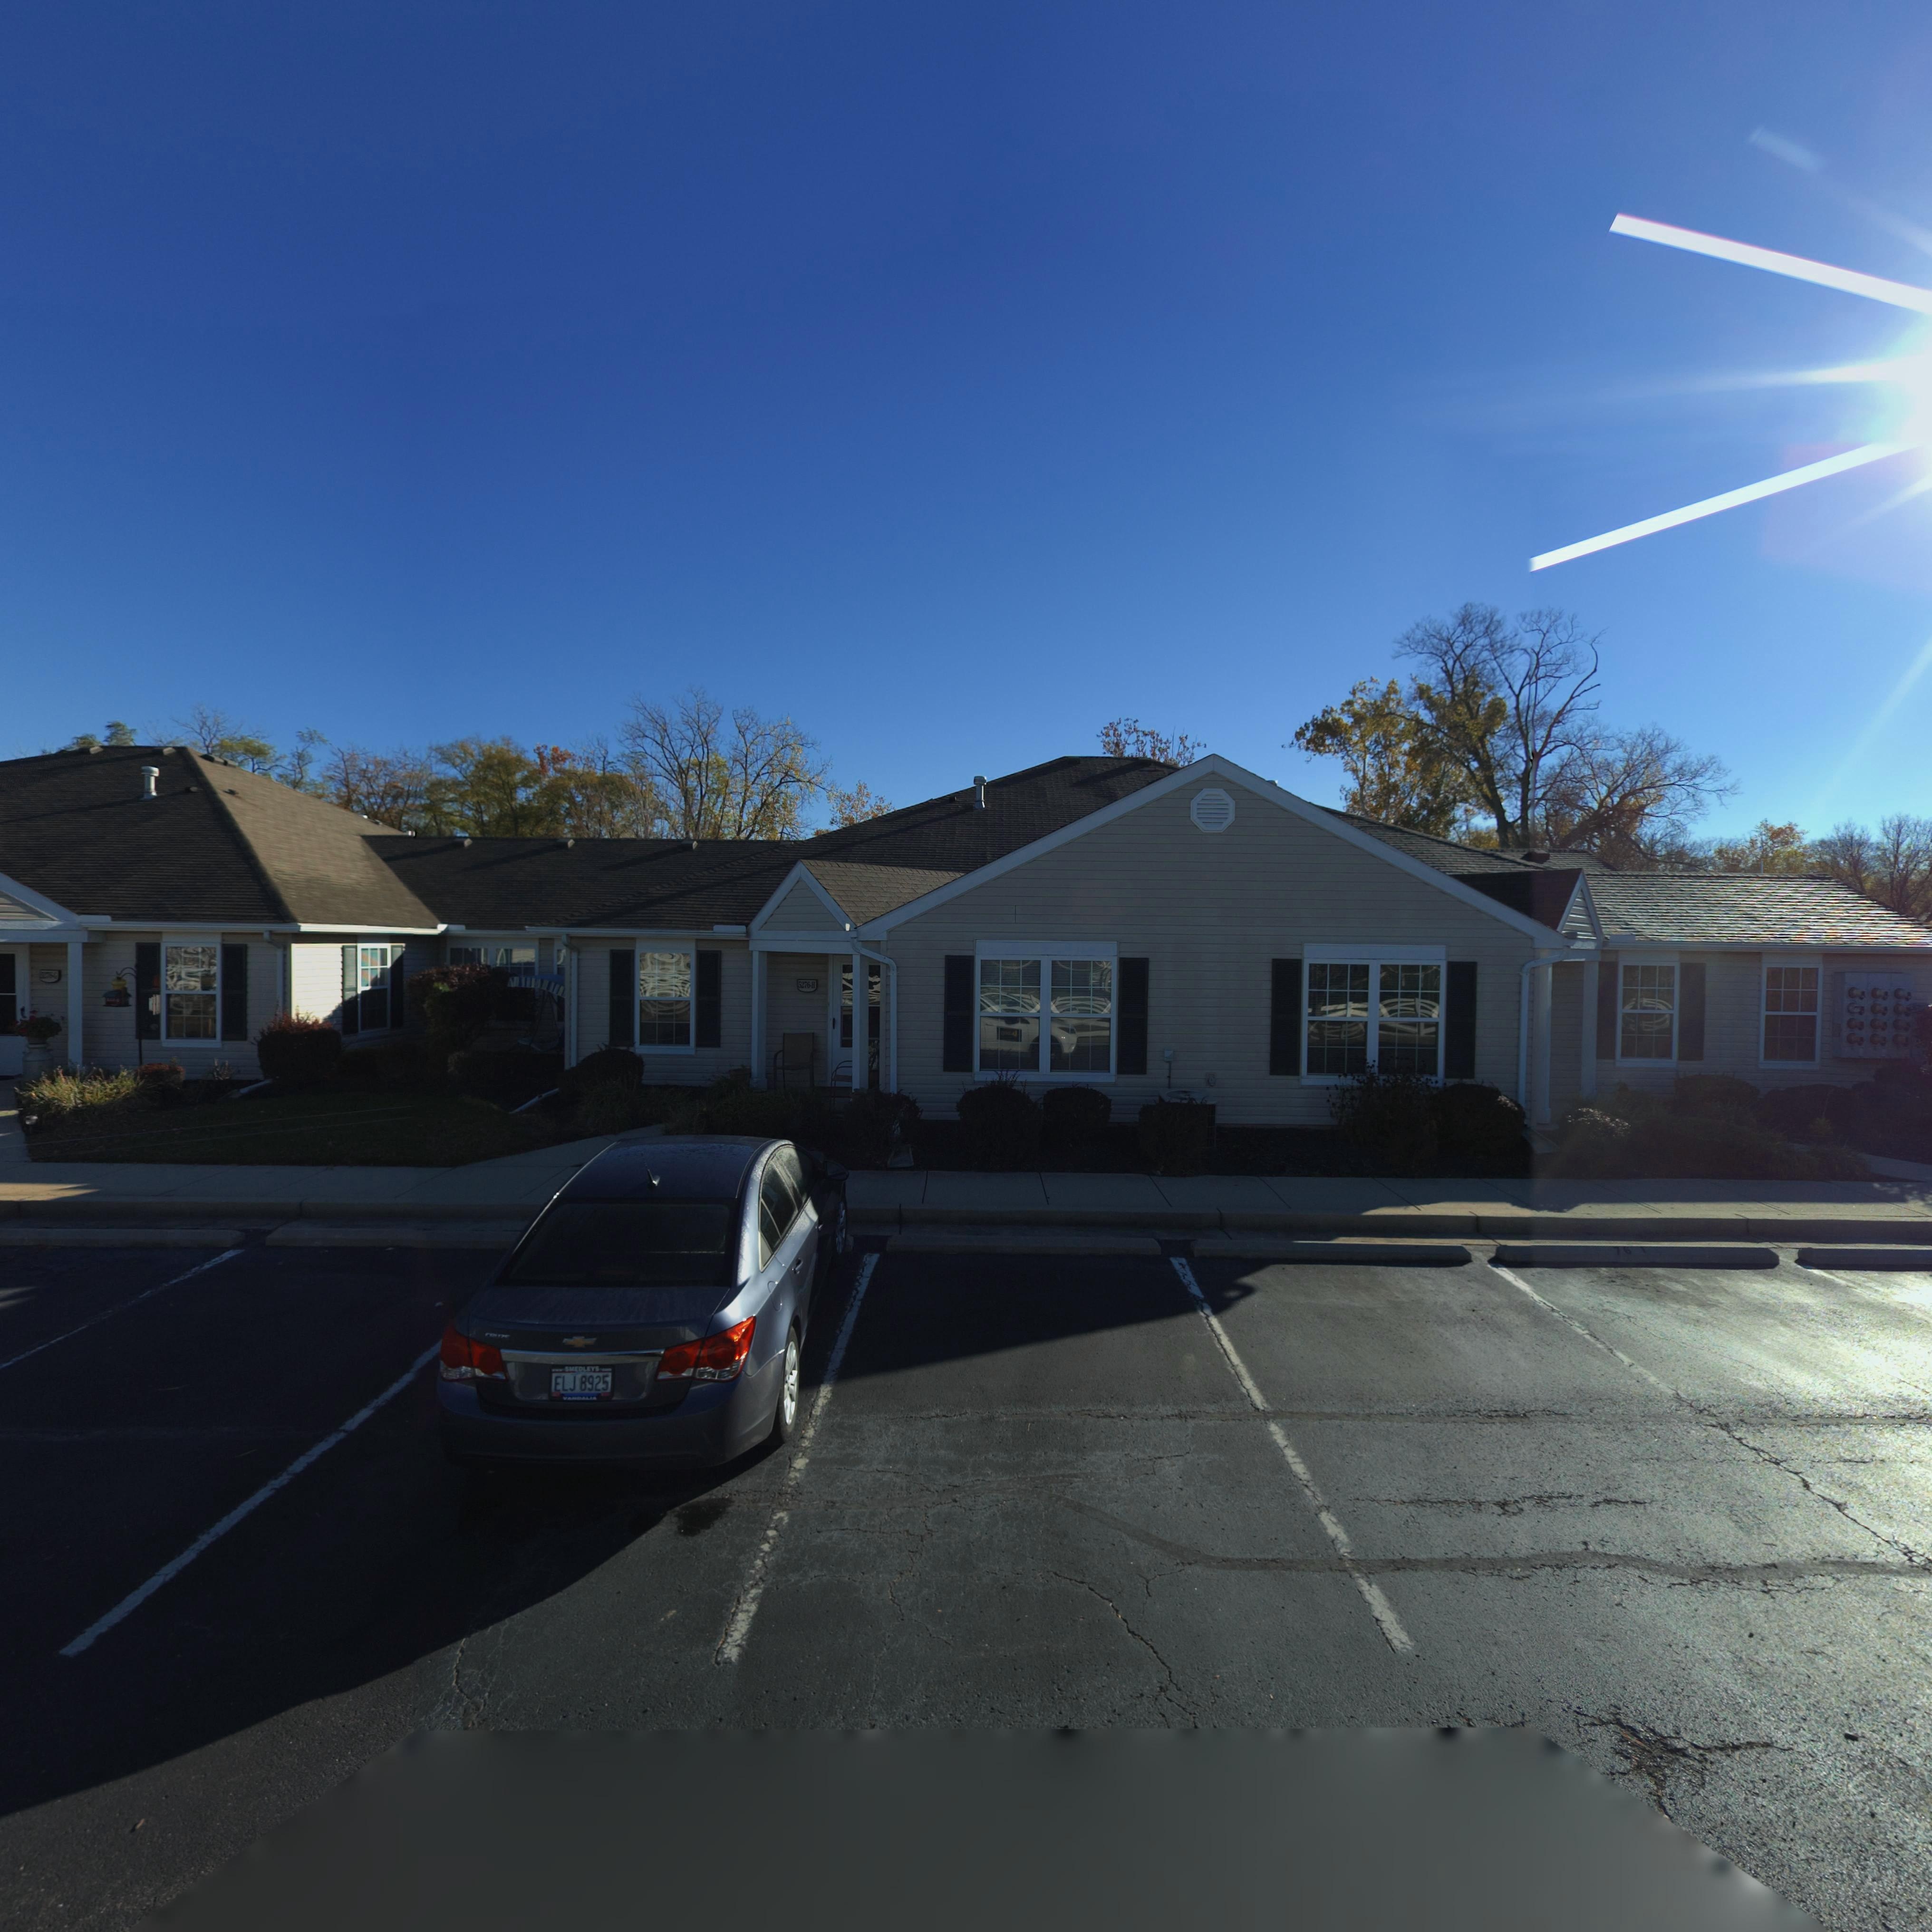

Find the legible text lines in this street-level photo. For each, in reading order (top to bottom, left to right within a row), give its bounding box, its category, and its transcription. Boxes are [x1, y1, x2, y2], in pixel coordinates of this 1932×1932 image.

[797, 980, 816, 989] StreetNumber: 5276-H